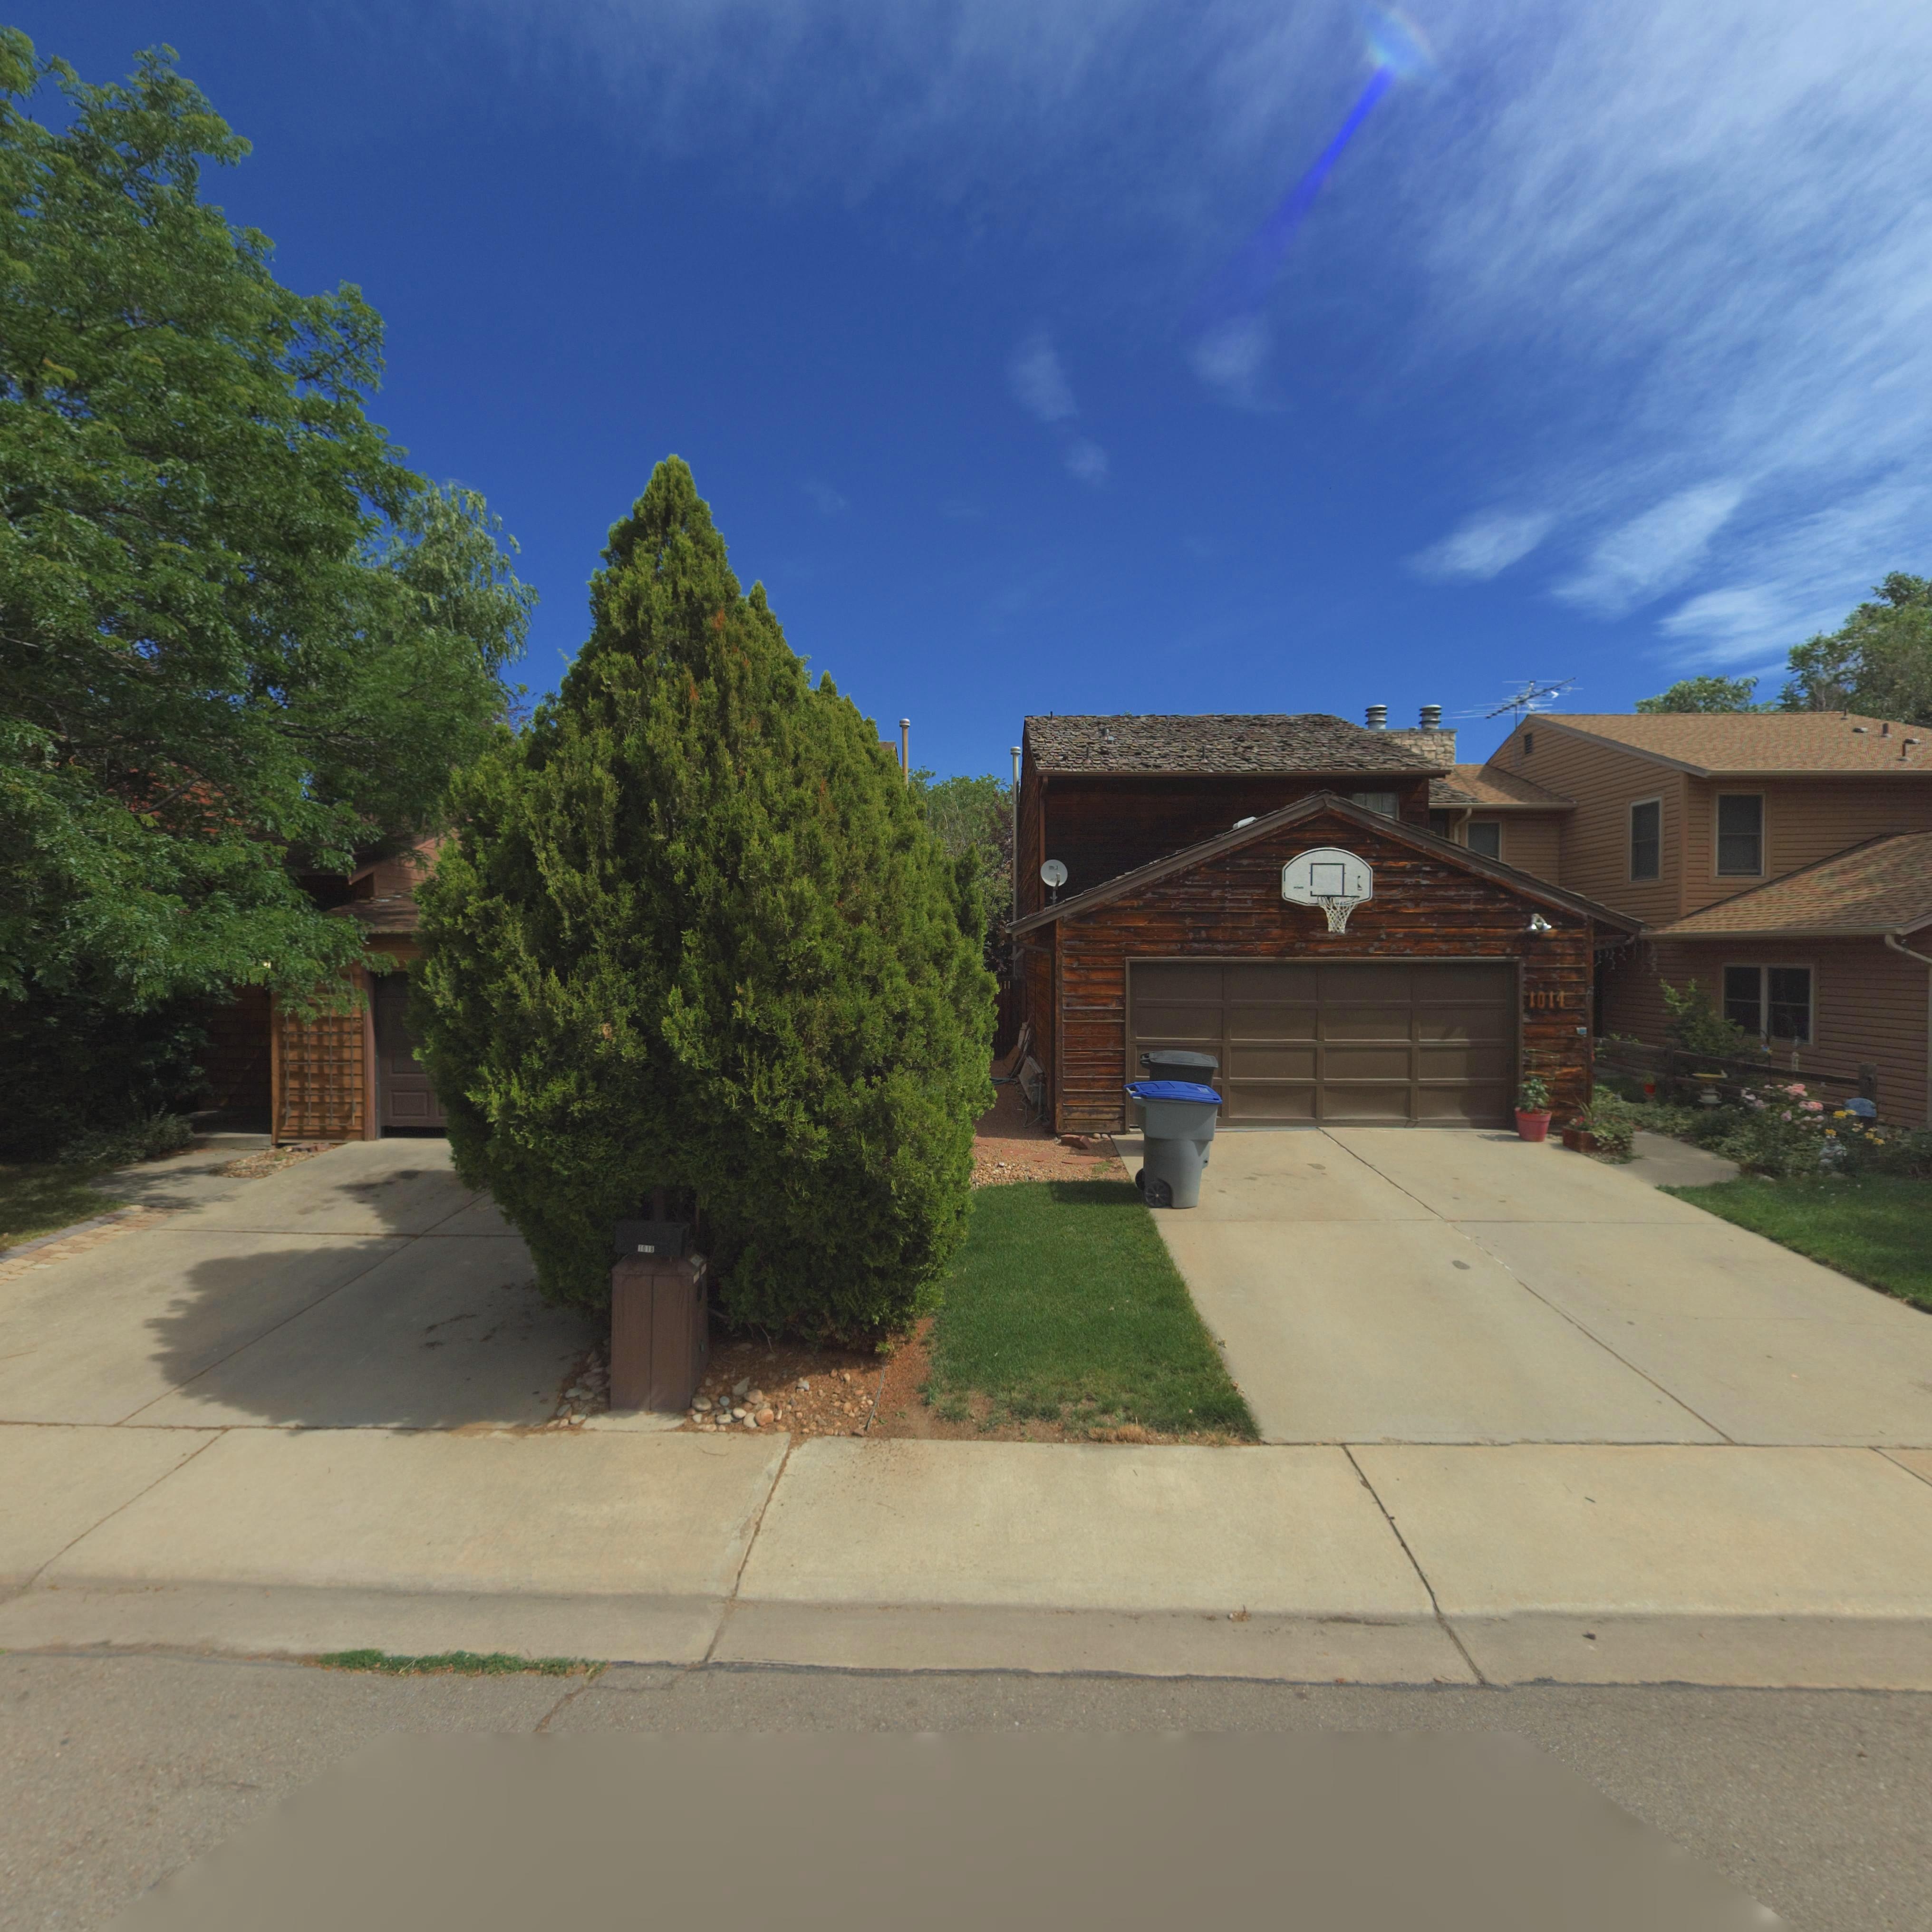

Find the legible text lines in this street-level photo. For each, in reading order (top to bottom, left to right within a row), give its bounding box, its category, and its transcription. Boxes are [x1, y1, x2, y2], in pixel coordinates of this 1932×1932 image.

[1530, 991, 1565, 1008] StreetNumber: 1014
[639, 1245, 654, 1252] StreetNumber: 1018